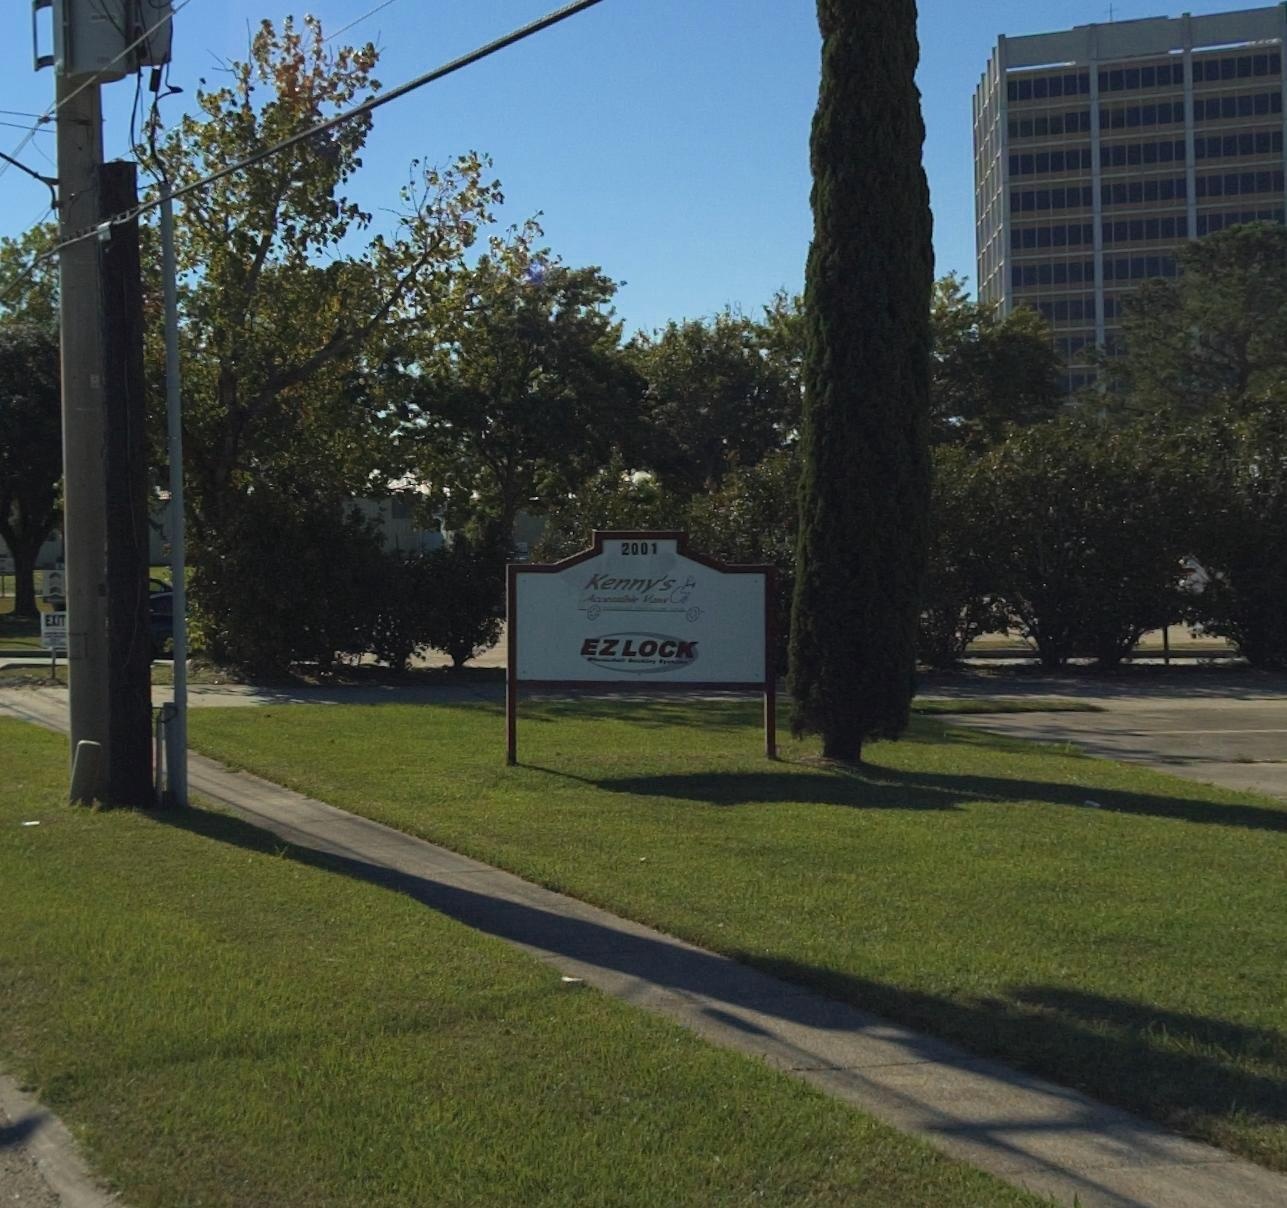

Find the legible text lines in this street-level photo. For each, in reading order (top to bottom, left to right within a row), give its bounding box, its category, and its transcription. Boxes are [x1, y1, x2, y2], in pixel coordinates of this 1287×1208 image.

[619, 539, 660, 558] StreetNumber: 2001
[579, 569, 680, 596] BusinessName: Kenny's
[580, 590, 598, 605] BusinessName: A
[640, 592, 658, 605] BusinessName: V
[667, 582, 692, 607] BusinessName: Co
[43, 611, 69, 630] None: EXIT
[575, 635, 702, 660] BusinessName: EZ LOCK